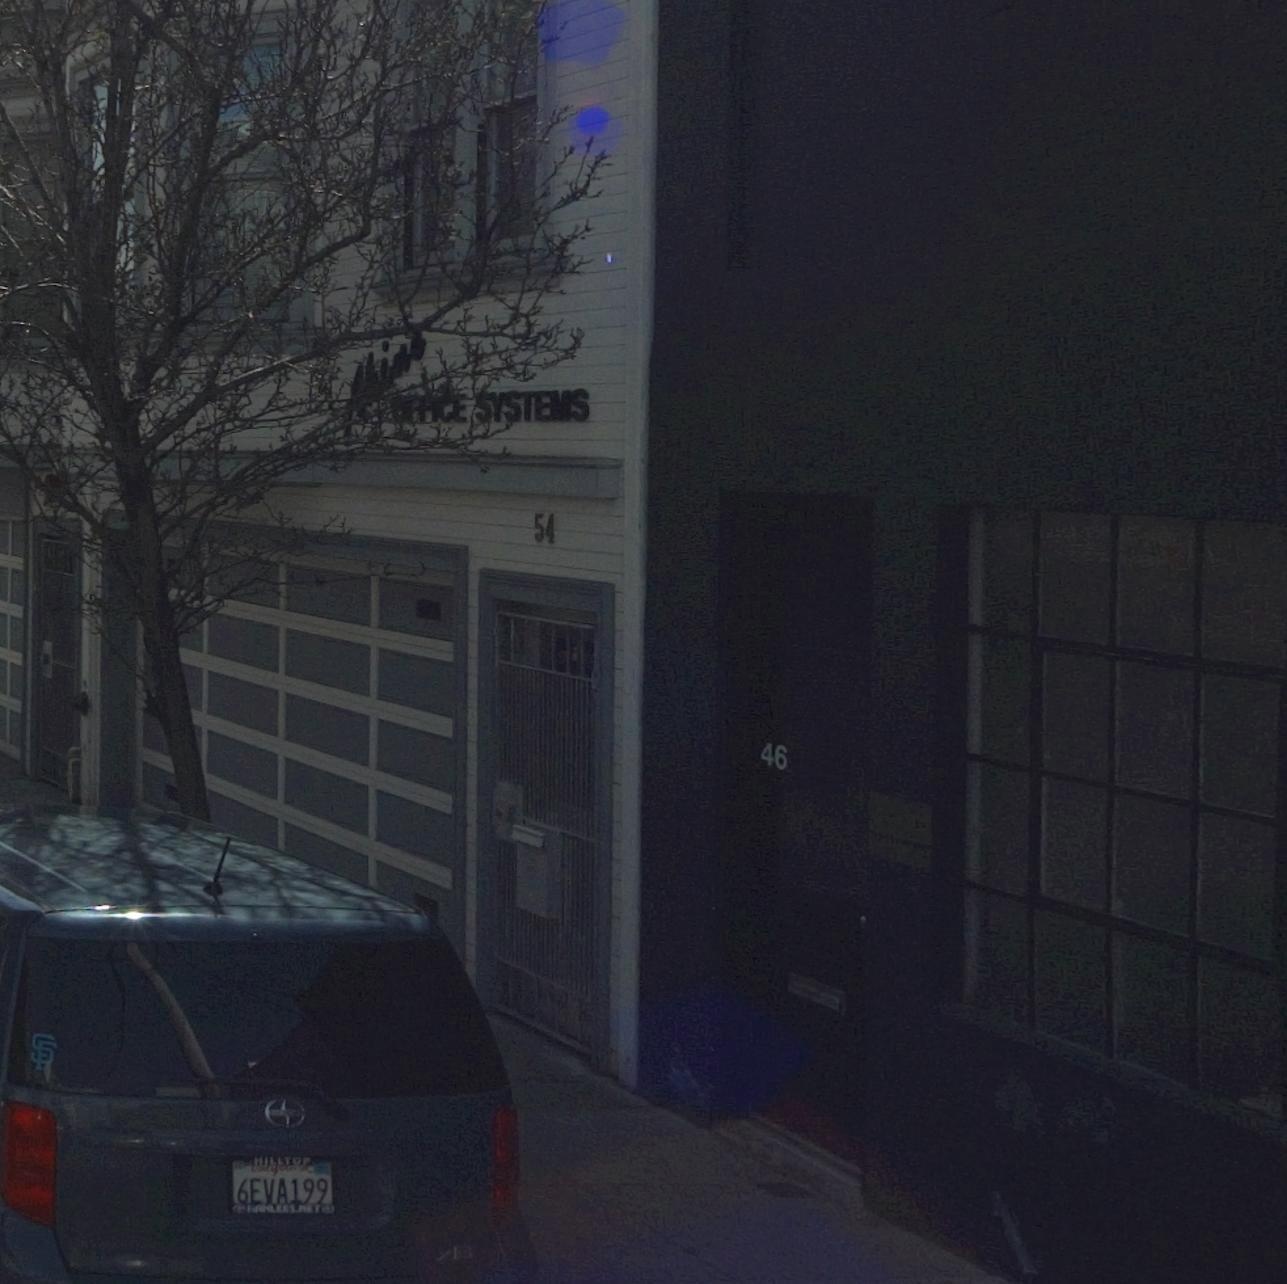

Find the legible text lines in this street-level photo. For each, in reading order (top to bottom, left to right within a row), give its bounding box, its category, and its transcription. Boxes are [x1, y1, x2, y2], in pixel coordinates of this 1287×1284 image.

[446, 383, 595, 428] BusinessName: E SYSTEMS
[529, 508, 561, 549] StreetNumber: 54
[755, 737, 792, 778] StreetNumber: 46
[250, 1152, 316, 1170] None: HILLTOP
[231, 1172, 332, 1208] None: 6EVA199